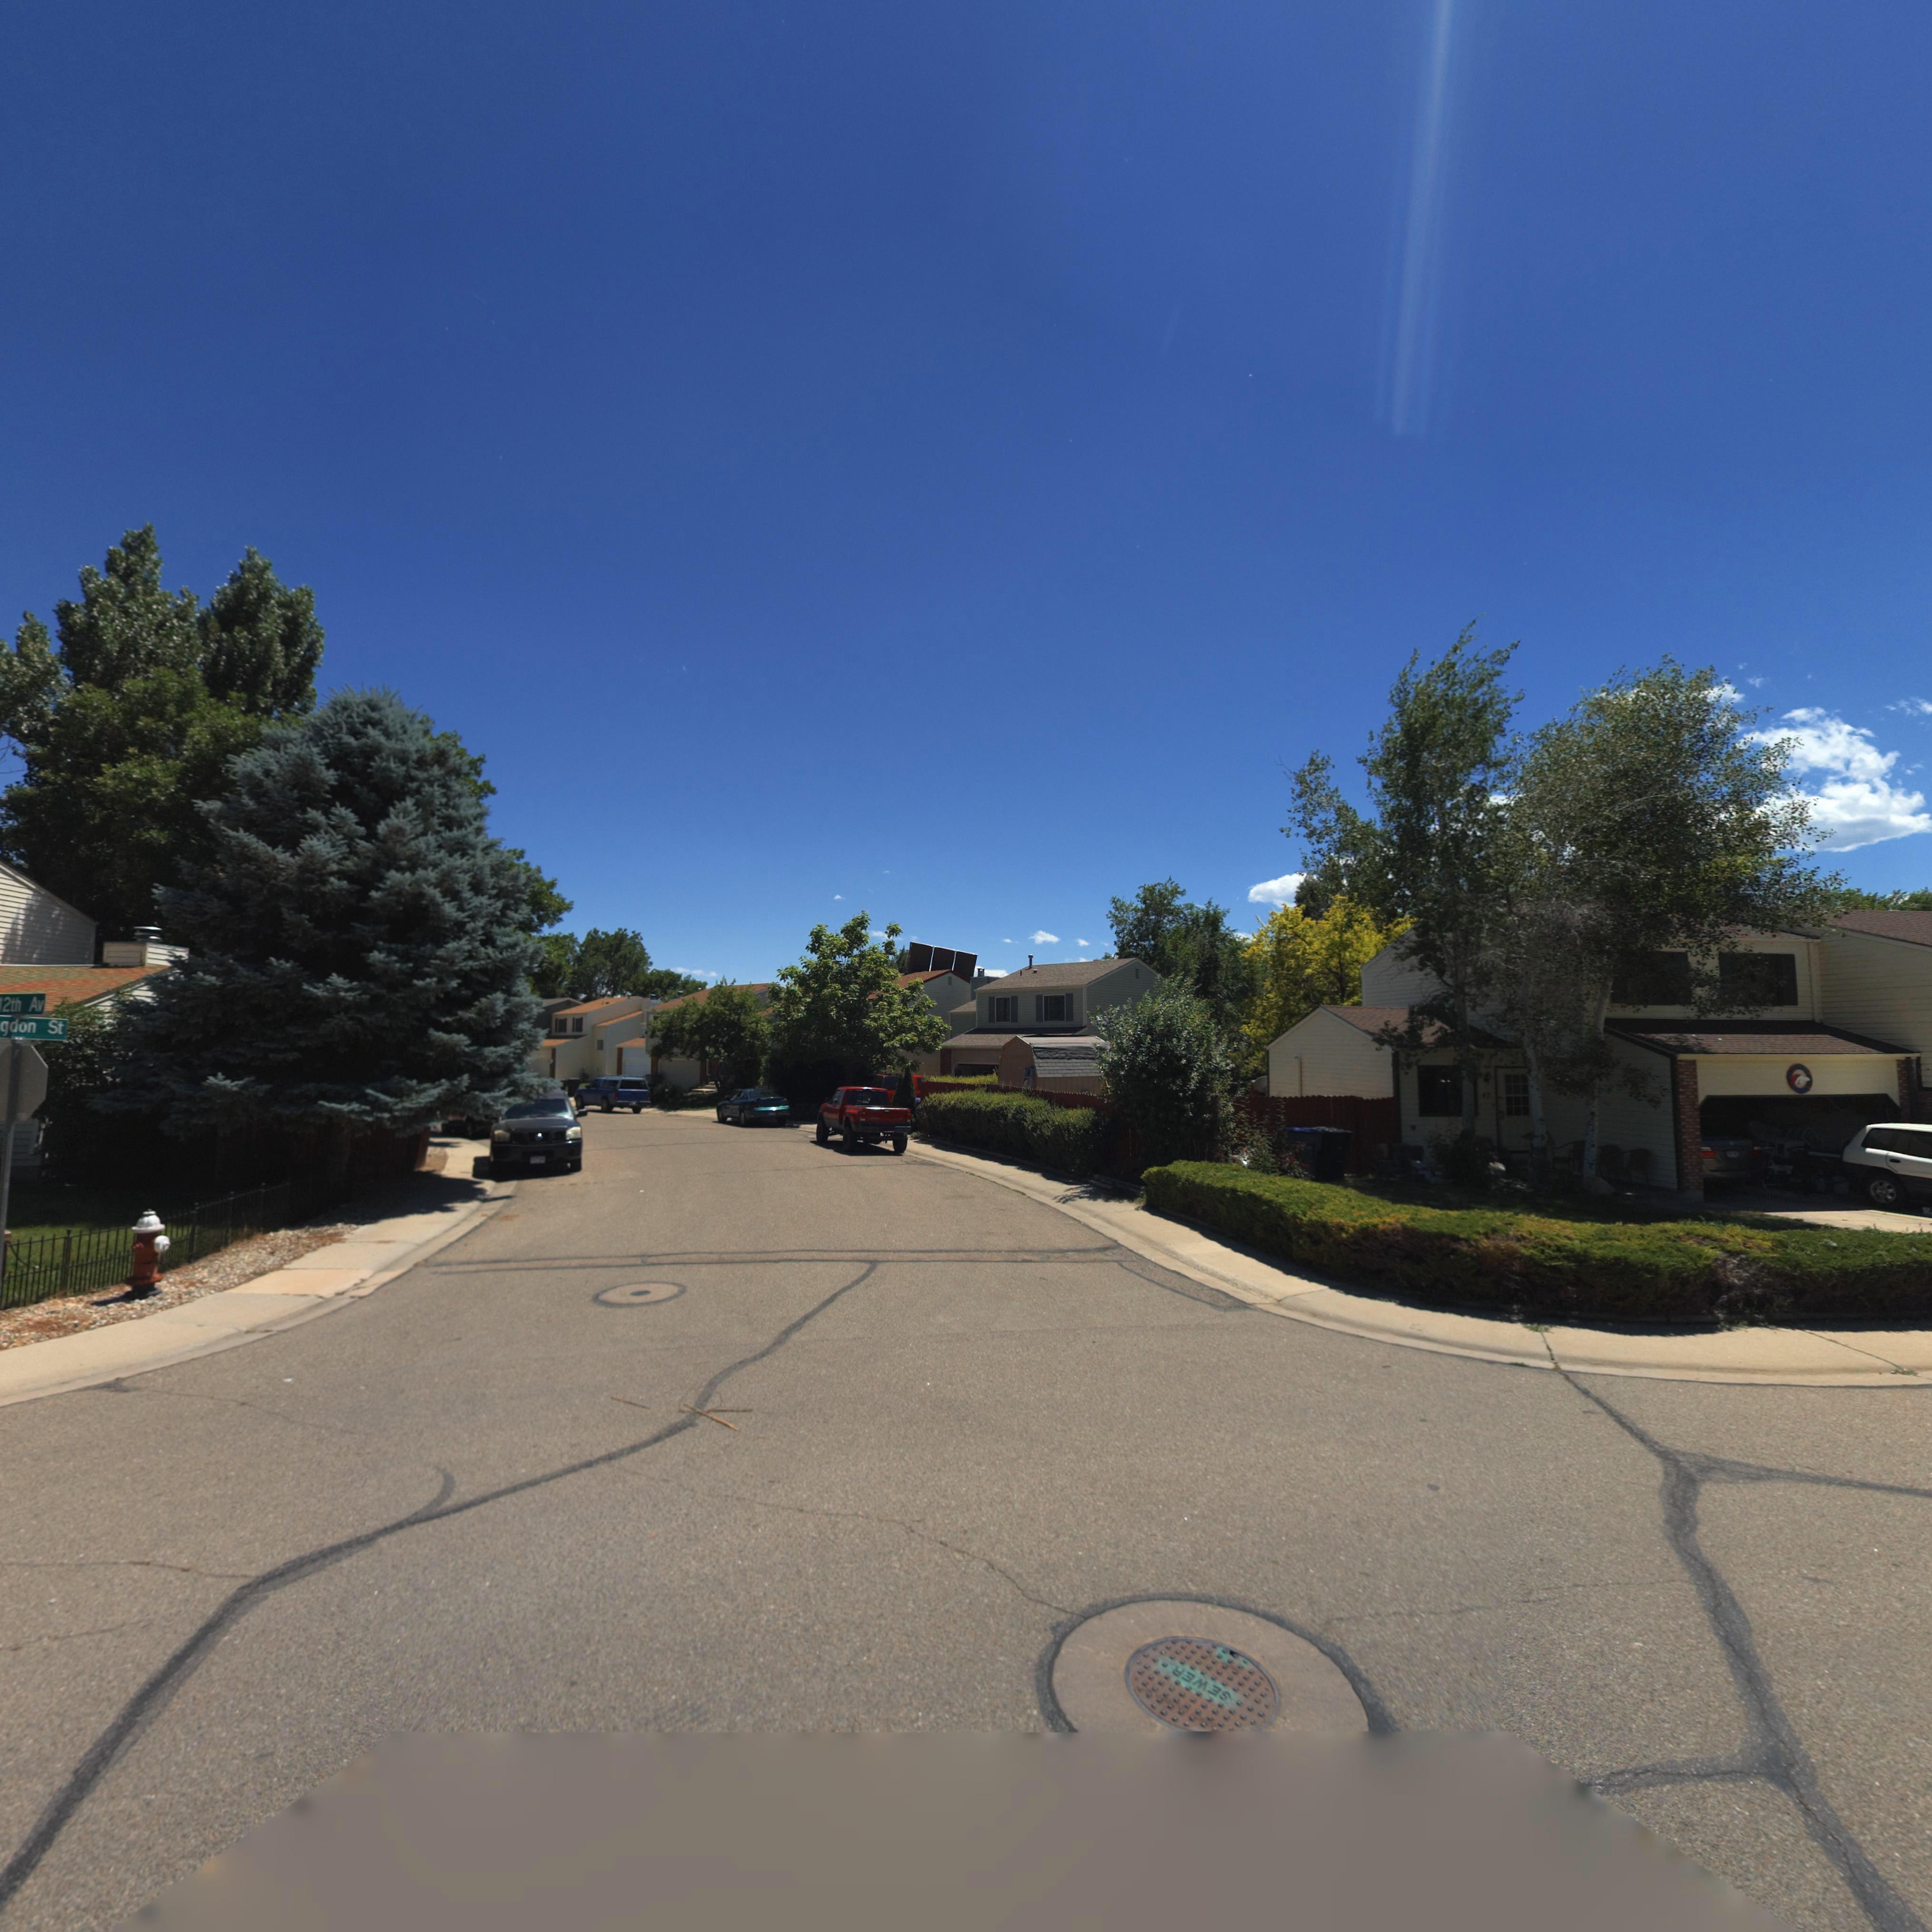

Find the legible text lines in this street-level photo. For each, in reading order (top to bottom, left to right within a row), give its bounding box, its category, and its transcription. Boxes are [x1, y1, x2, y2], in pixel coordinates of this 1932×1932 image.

[2, 995, 45, 1012] StreetName: 2th Av
[0, 1018, 64, 1038] StreetName: gdon St
[1482, 1092, 1491, 1100] StreetNumber: 47